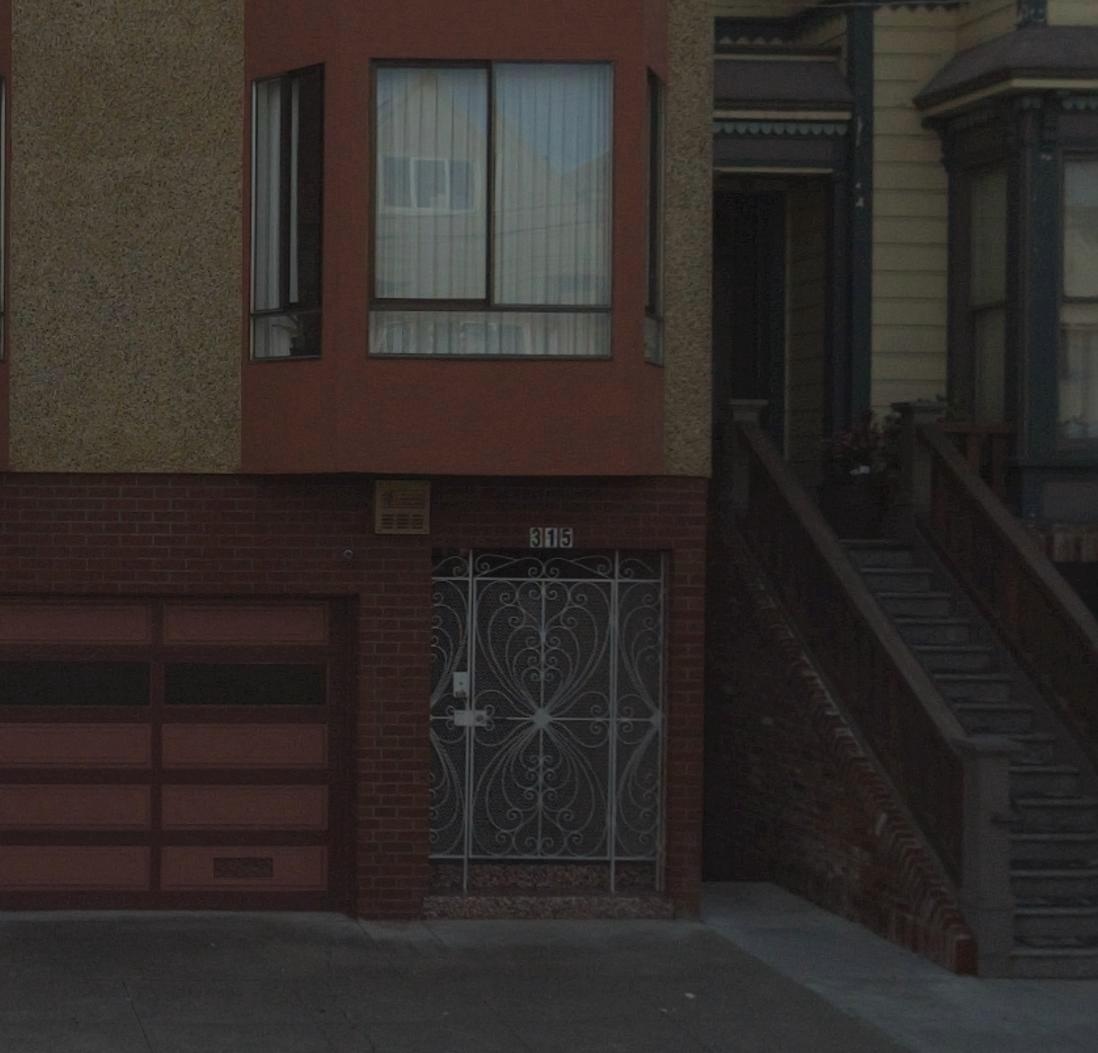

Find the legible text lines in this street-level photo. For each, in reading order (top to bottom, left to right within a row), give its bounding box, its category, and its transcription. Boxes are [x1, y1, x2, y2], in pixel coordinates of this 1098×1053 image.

[531, 527, 572, 548] StreetNumber: 315